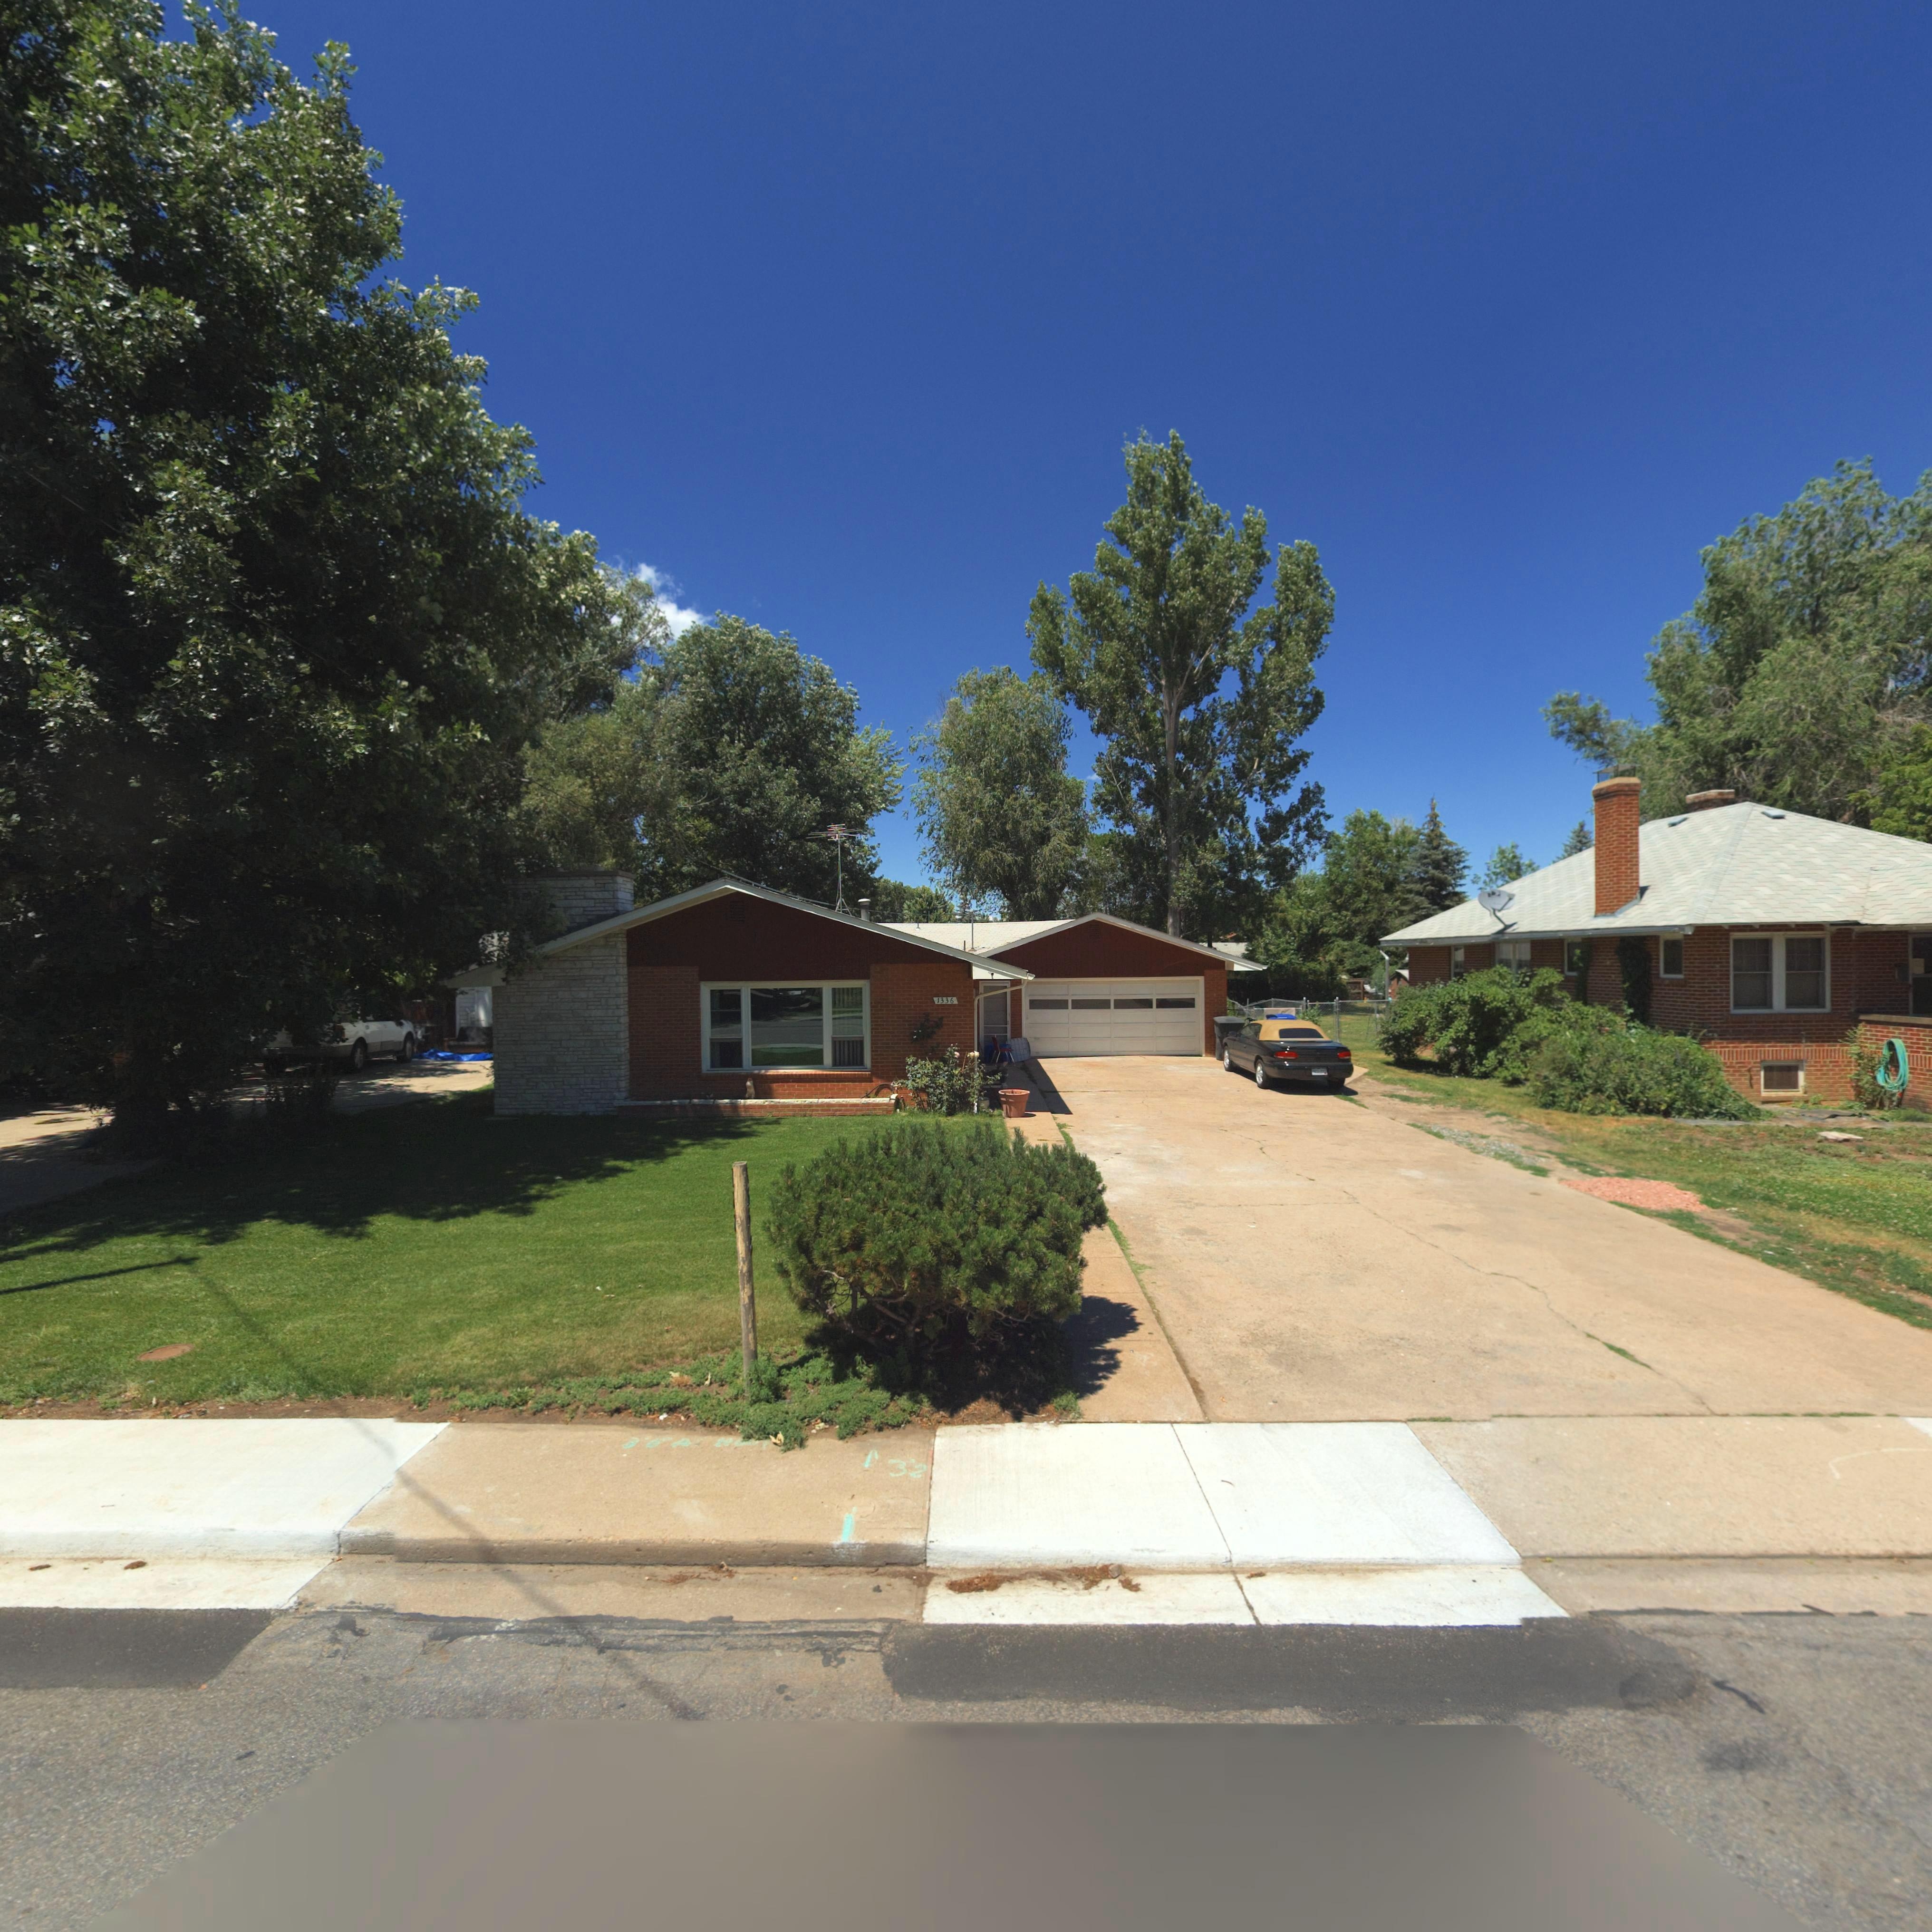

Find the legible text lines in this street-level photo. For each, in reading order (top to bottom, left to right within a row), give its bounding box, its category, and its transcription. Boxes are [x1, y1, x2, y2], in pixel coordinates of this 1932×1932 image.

[937, 997, 954, 1004] StreetNumber: 1336
[744, 1167, 753, 1257] StreetNumber: 133*